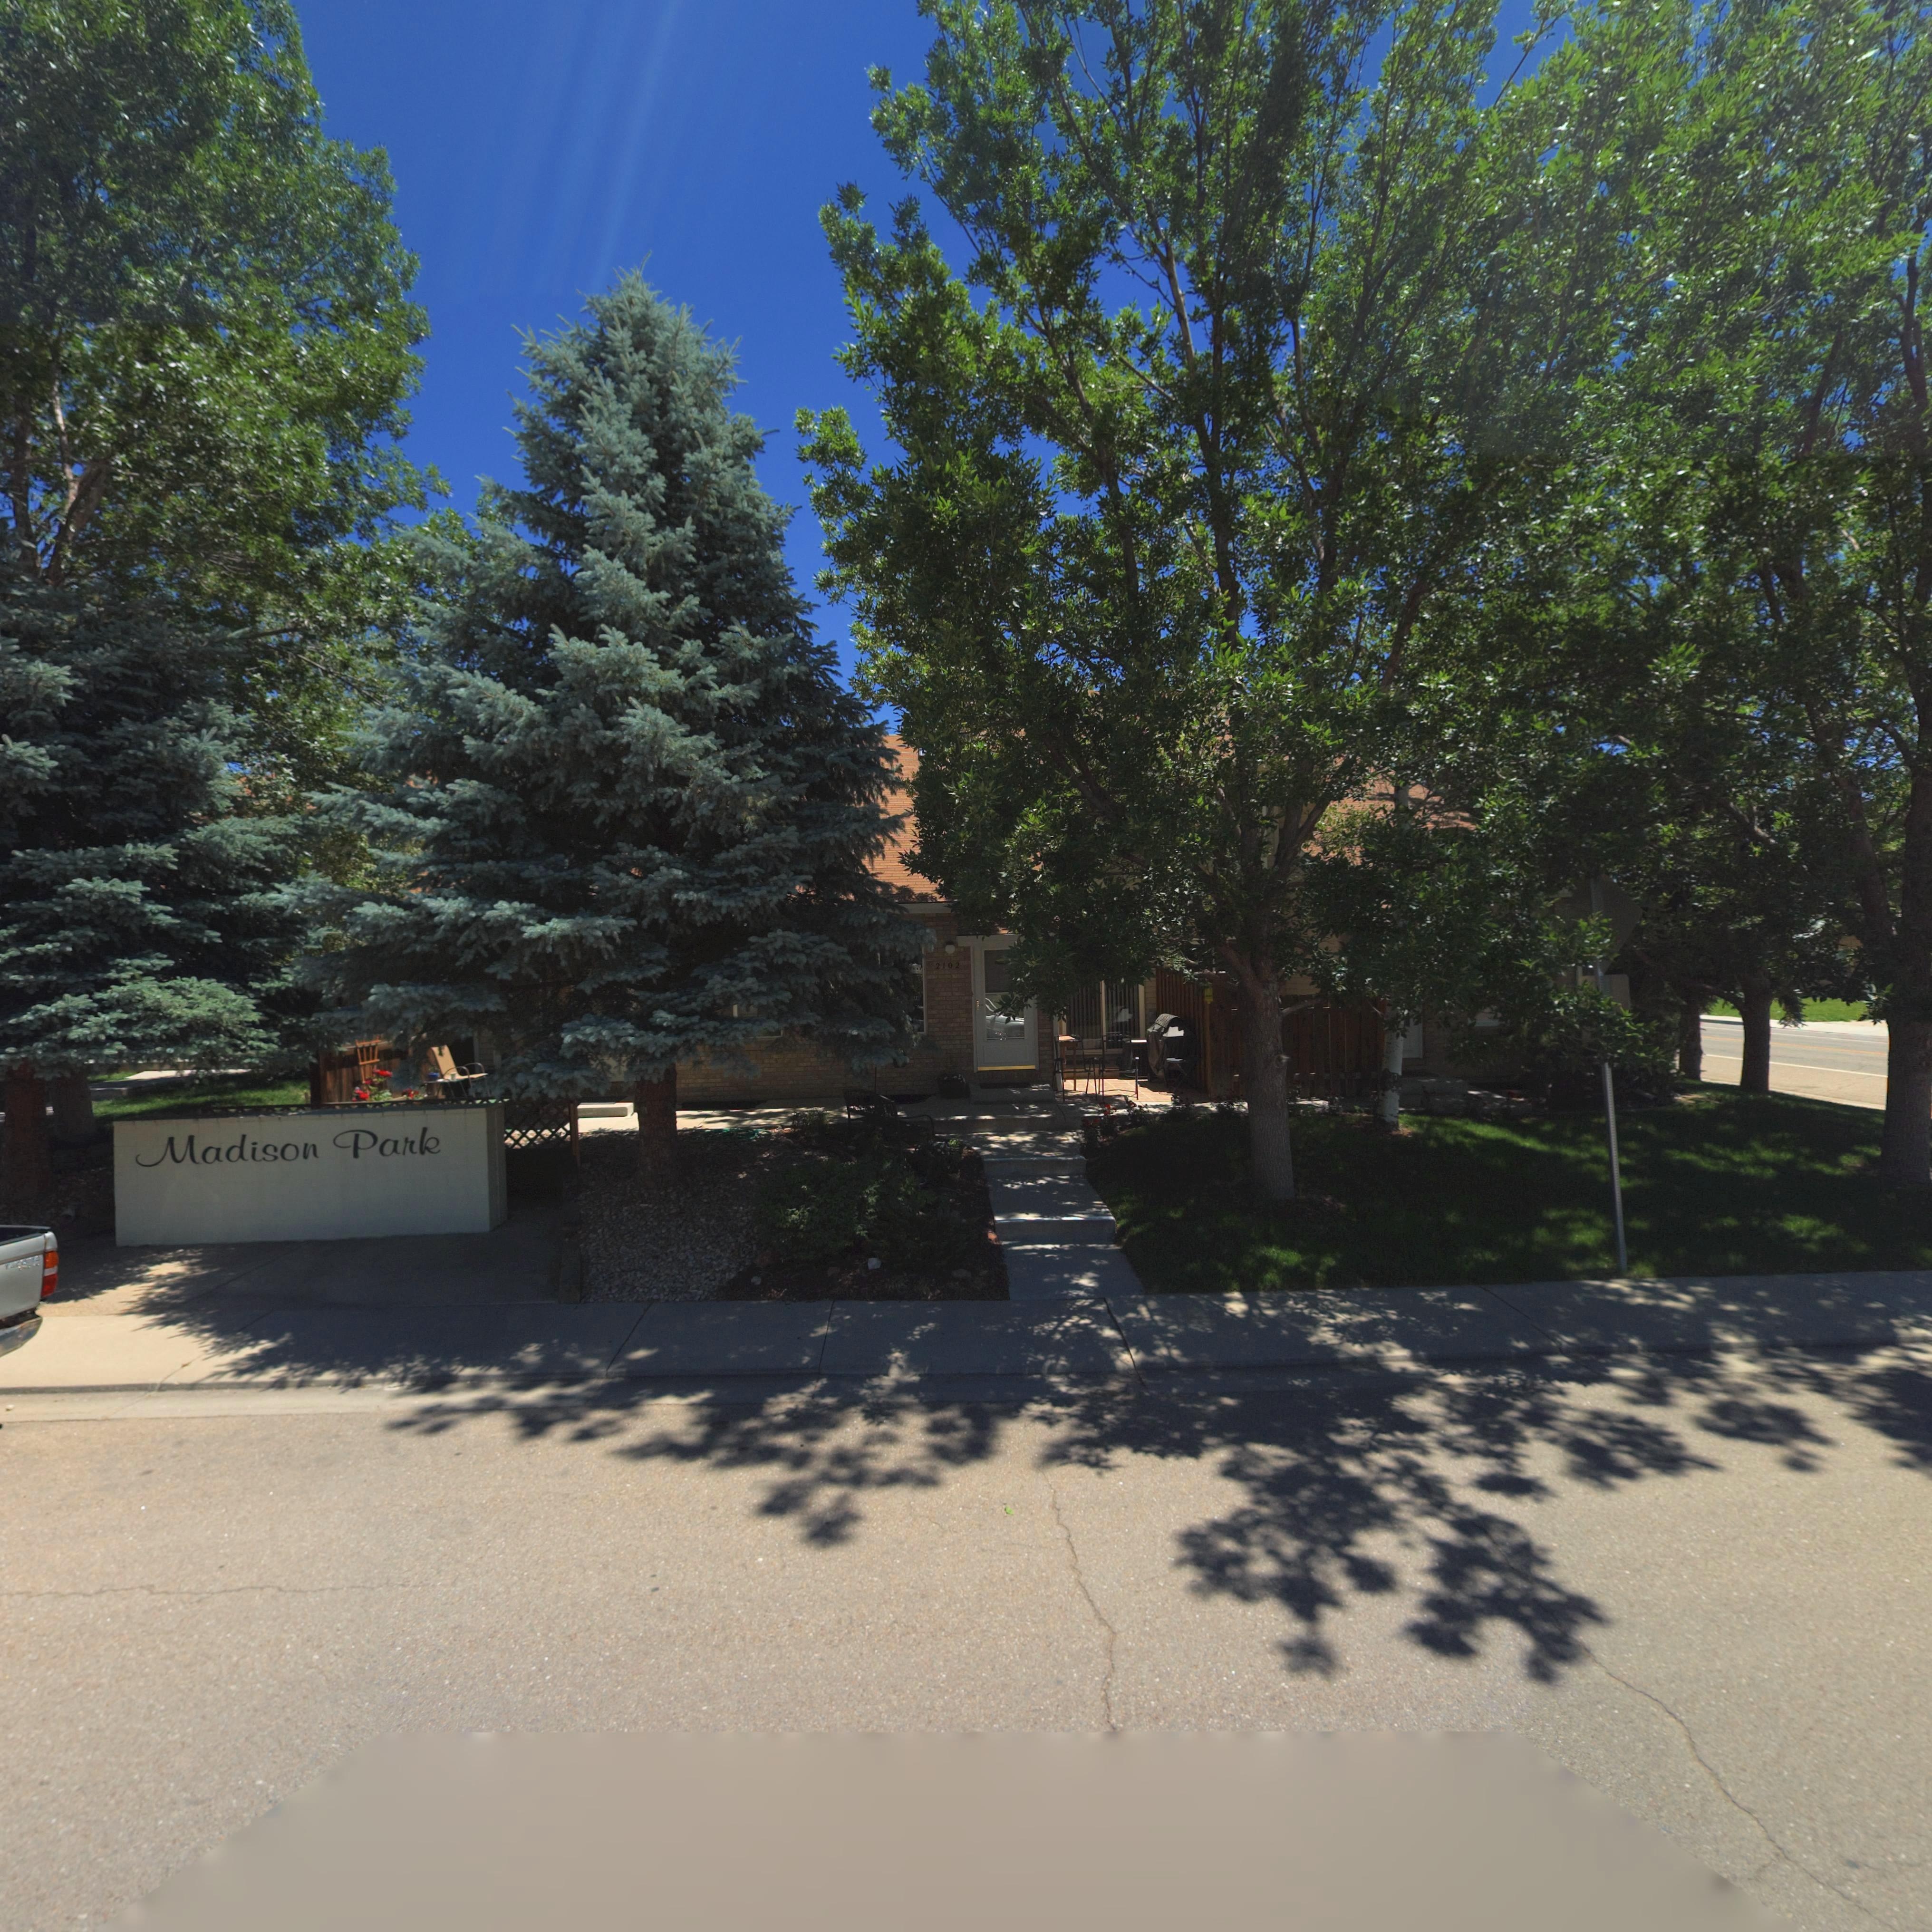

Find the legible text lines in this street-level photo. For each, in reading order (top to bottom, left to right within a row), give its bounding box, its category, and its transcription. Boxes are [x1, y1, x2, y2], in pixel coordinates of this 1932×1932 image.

[935, 961, 960, 969] StreetNumber: 2102